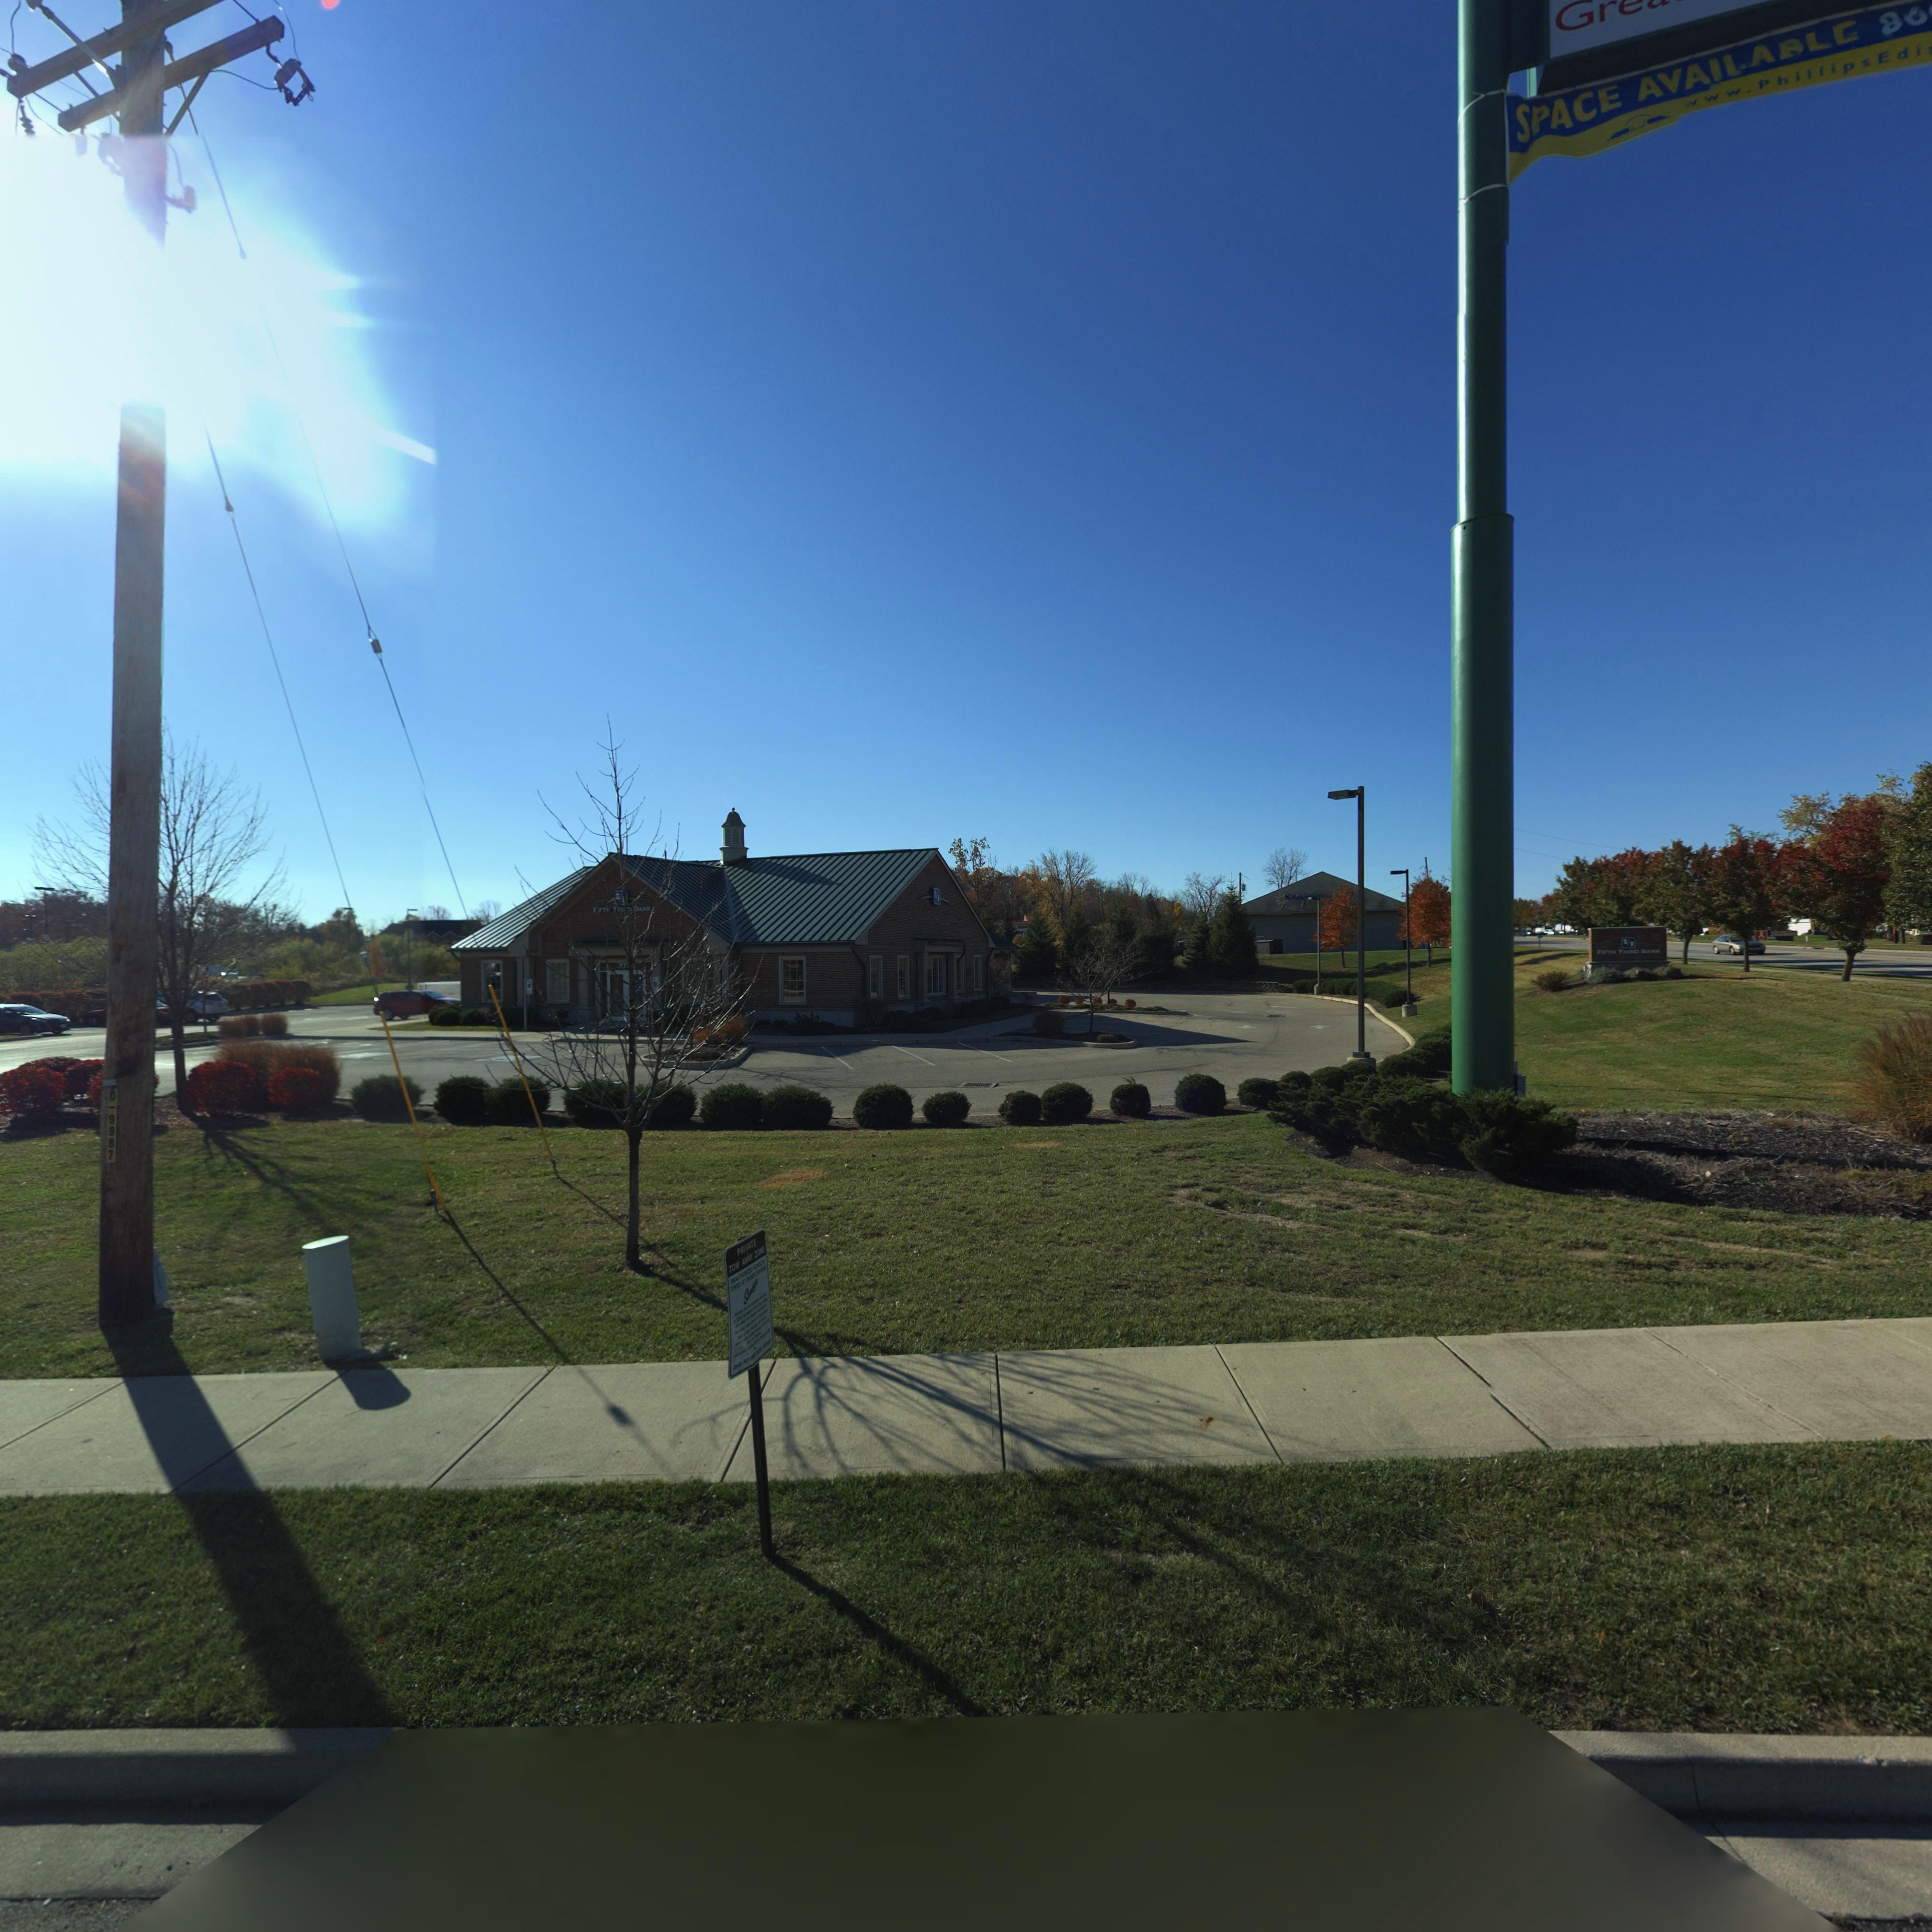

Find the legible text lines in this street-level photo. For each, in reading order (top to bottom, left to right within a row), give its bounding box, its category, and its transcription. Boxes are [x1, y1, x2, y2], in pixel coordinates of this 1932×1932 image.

[617, 963, 627, 970] StreetNumber: 77